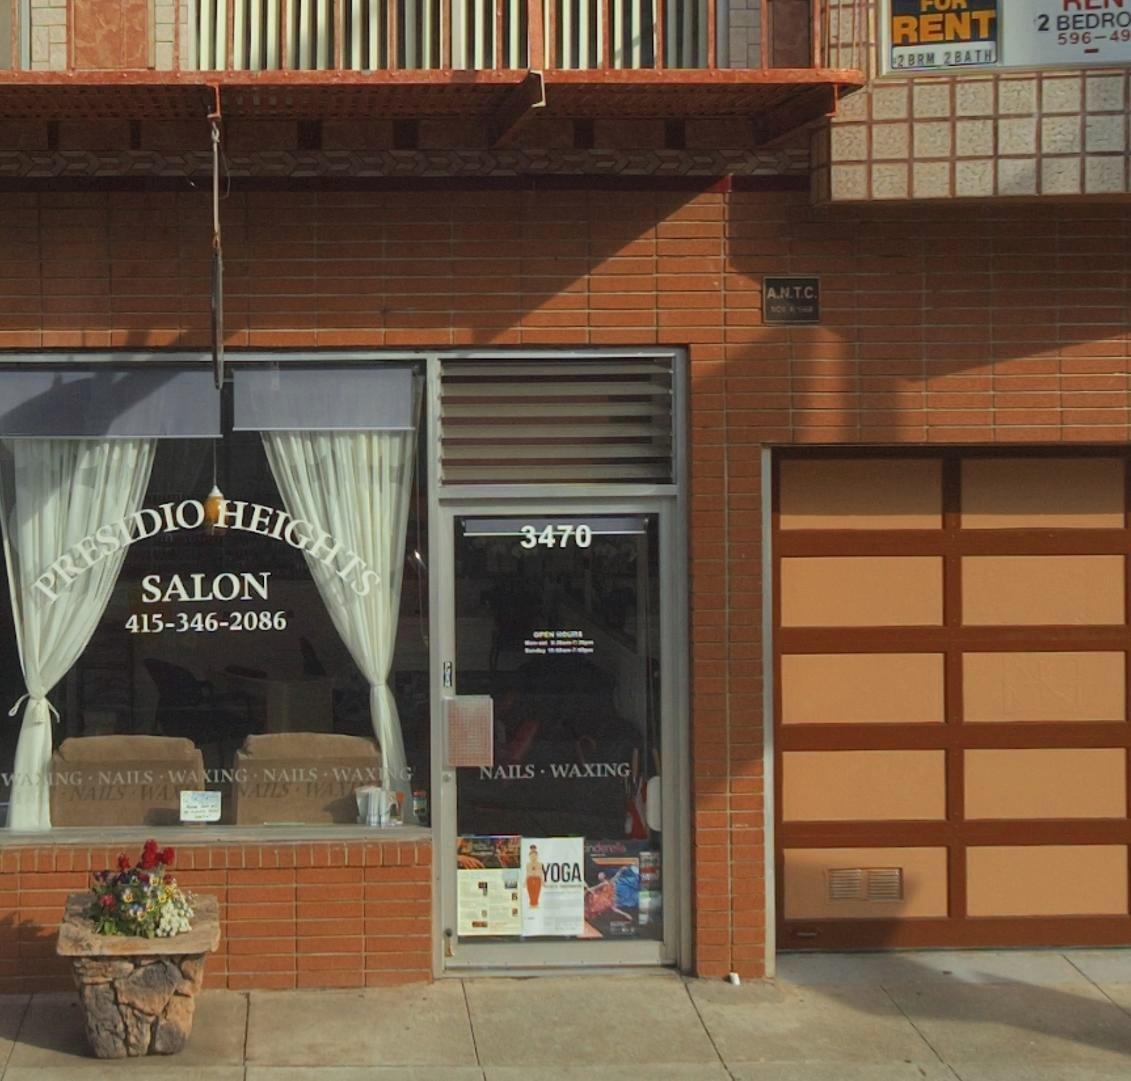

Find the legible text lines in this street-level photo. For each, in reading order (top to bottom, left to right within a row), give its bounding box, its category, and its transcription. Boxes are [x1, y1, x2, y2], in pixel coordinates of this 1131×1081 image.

[889, 5, 1000, 49] None: RENT
[1033, 9, 1117, 35] None: 2 BEDR
[1055, 27, 1131, 49] None: 596-49
[895, 46, 994, 70] None: 2BRM 2BATH
[763, 284, 820, 301] None: A.N.T.C.
[517, 522, 594, 552] StreetNumber: 3470
[25, 495, 387, 609] BusinessName: PRESIDIO HEIGHTS
[136, 568, 276, 607] BusinessName: SALON
[121, 607, 291, 638] None: 415-346-2086
[0, 763, 415, 789] None: WAXING * NAILS * WAXING * NAILS * WAXING
[475, 759, 633, 782] None: NAILS * WAXING
[538, 859, 586, 885] None: YOGA